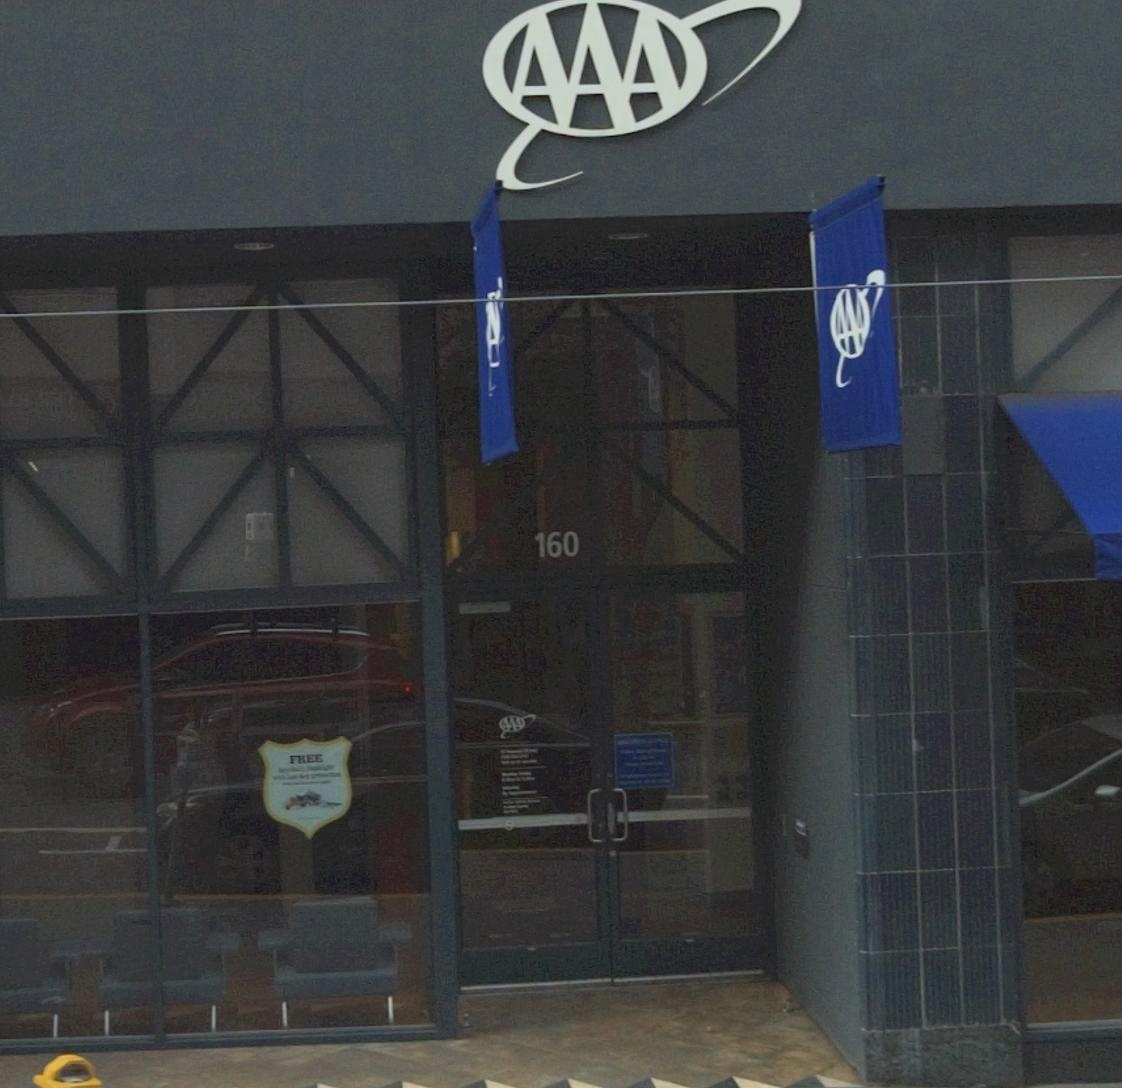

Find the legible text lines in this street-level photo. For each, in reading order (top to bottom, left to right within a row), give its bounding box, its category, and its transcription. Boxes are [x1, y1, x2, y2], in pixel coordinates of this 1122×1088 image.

[507, 1, 684, 127] BusinessName: AAA
[835, 288, 865, 355] BusinessName: AAA
[534, 530, 581, 559] StreetNumber: 160
[500, 716, 523, 731] BusinessName: AAA
[288, 752, 324, 765] None: FREE